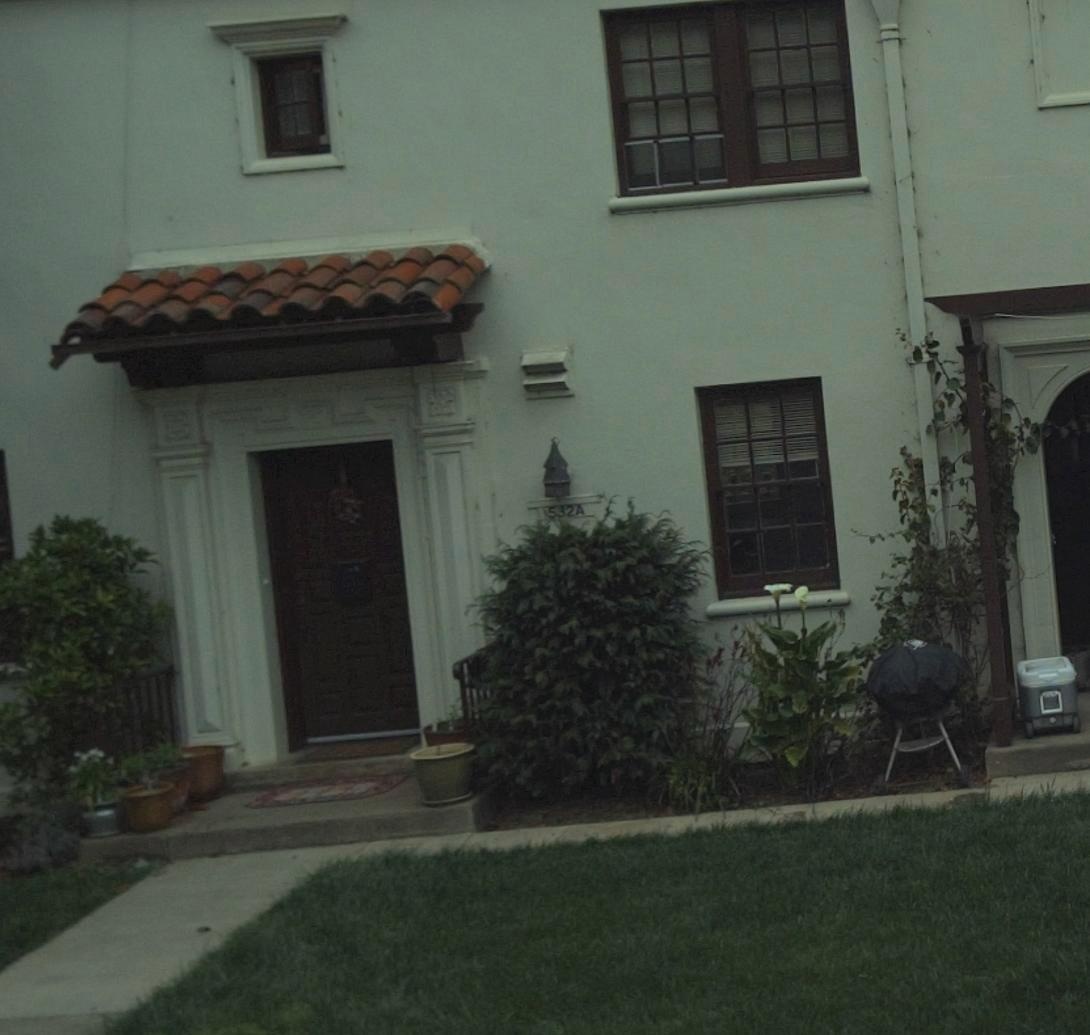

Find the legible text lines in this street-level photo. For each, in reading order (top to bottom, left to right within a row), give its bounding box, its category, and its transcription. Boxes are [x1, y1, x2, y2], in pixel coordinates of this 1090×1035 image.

[547, 503, 586, 520] StreetNumber: 532A